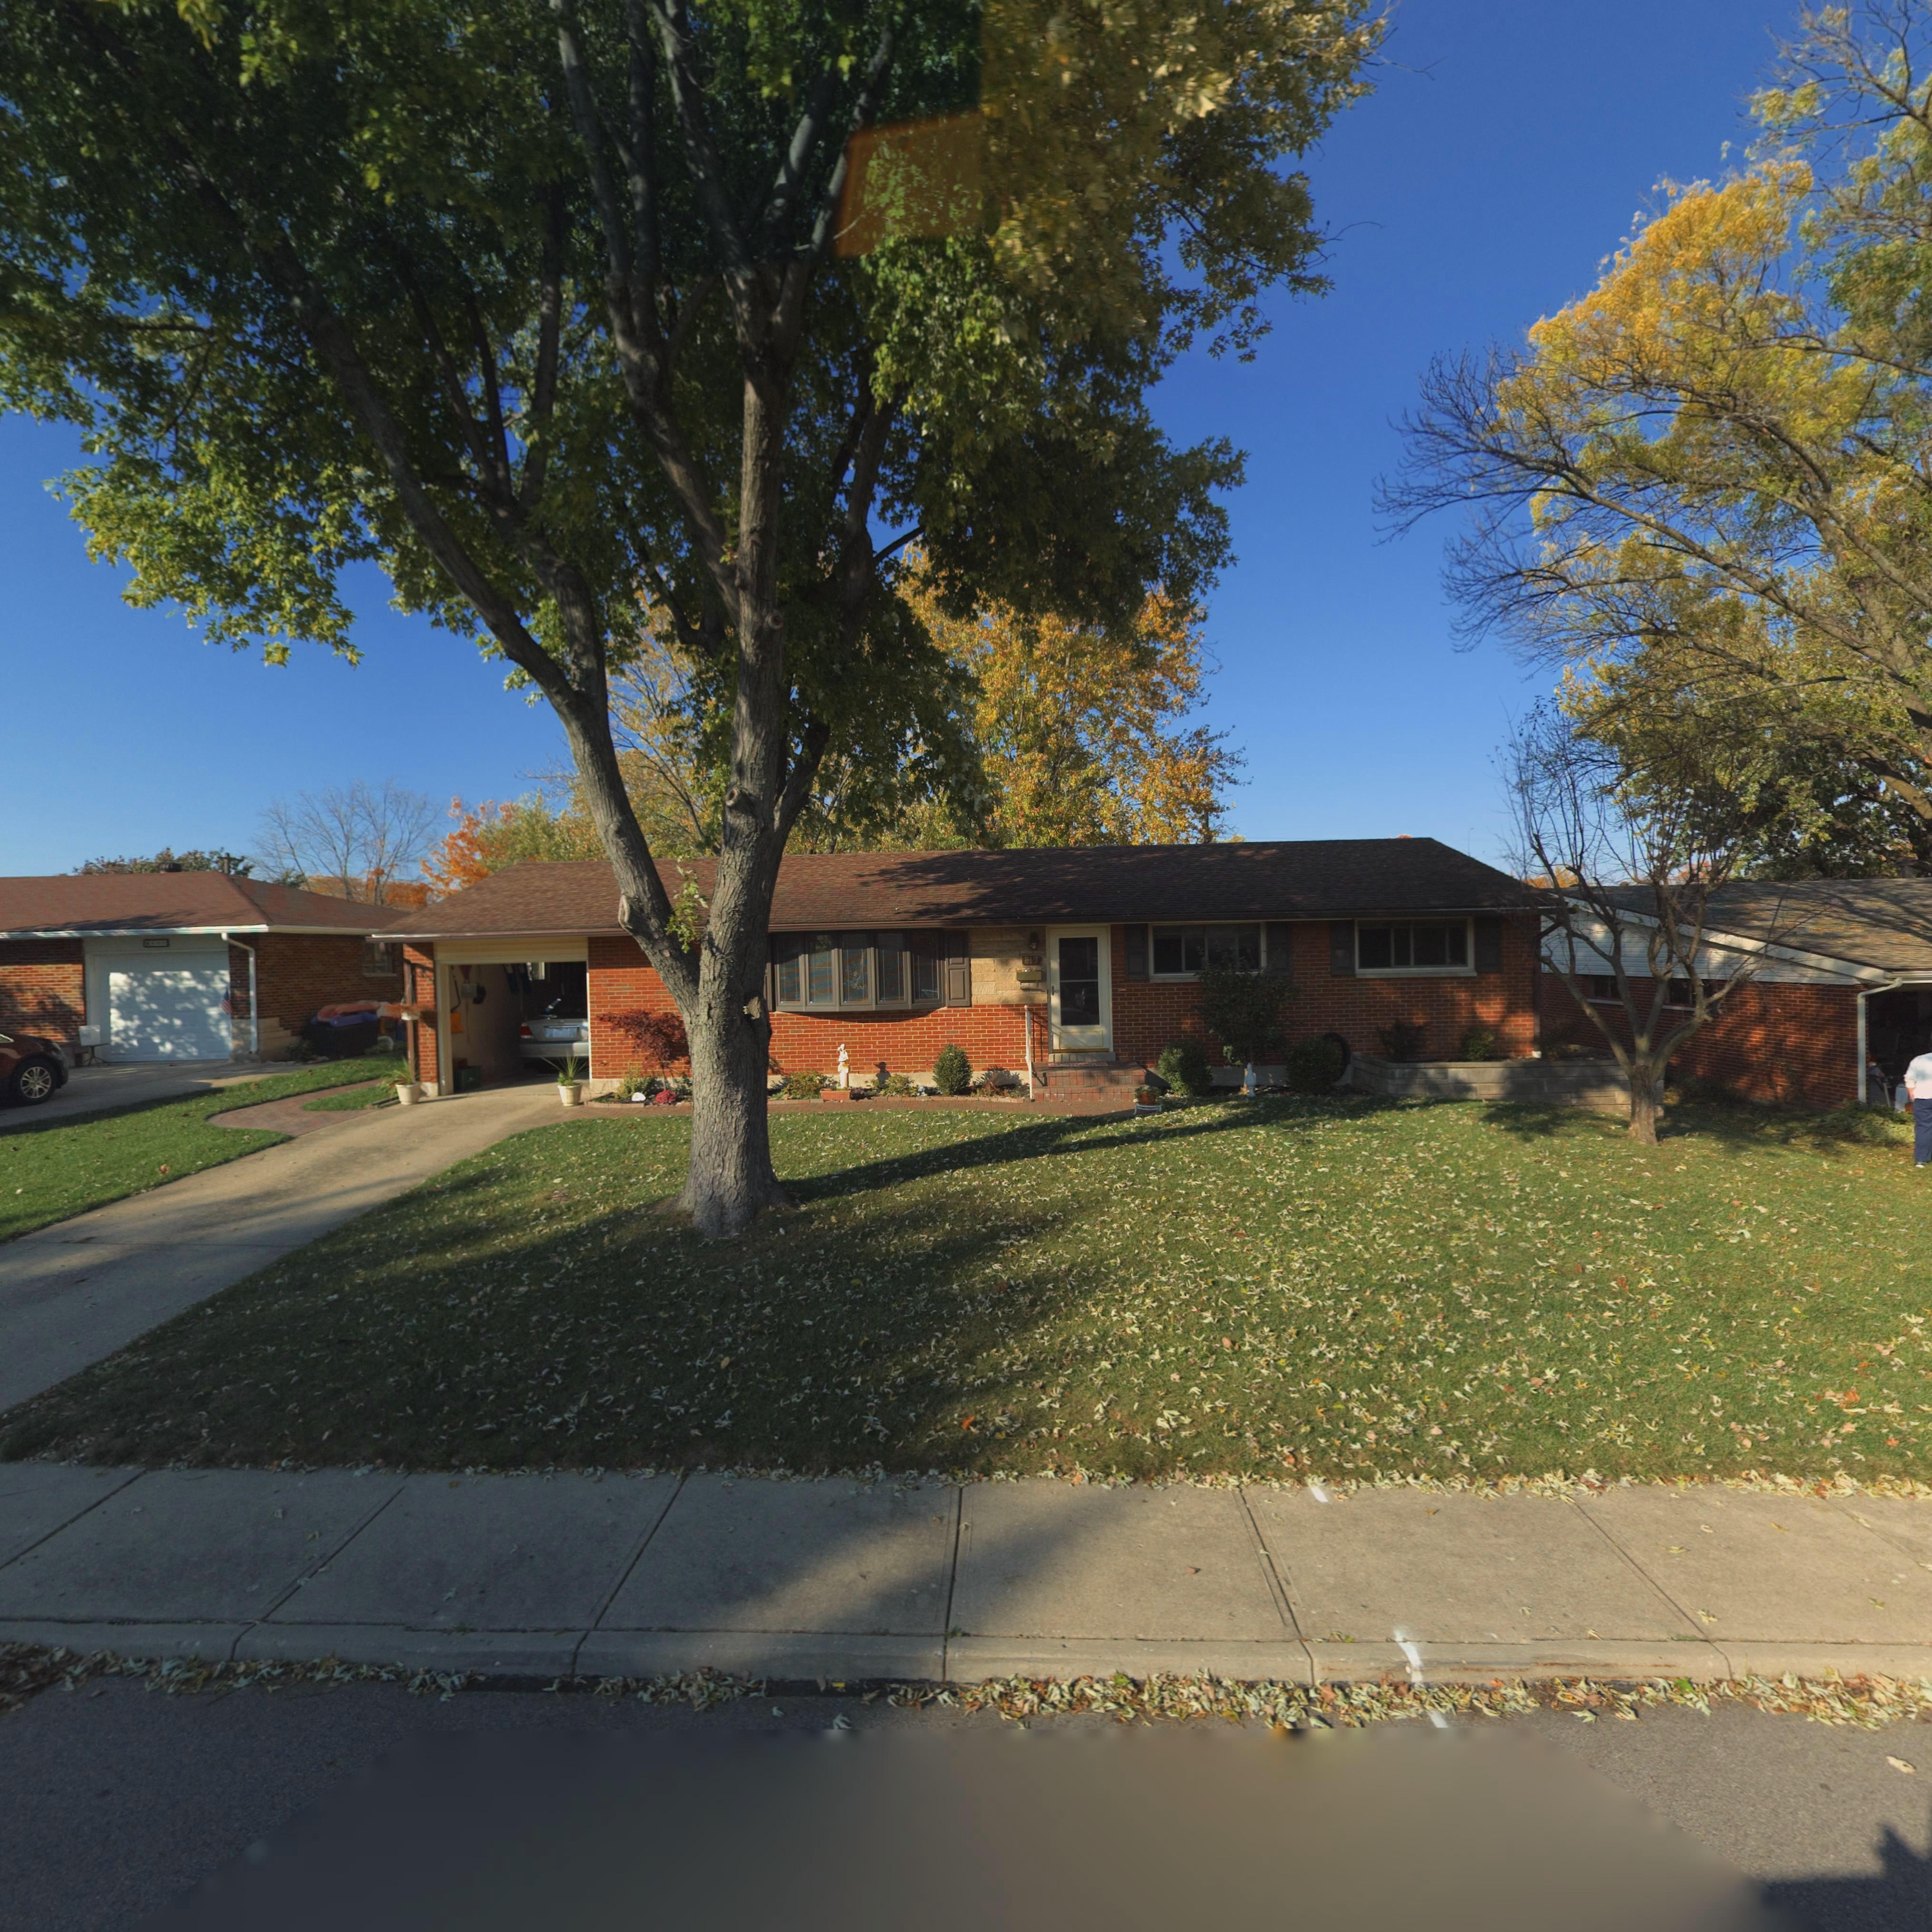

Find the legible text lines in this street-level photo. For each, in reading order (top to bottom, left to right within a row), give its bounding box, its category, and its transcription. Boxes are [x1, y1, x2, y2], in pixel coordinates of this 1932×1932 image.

[149, 940, 165, 945] StreetNumber: 809
[1024, 956, 1038, 964] StreetNumber: 813